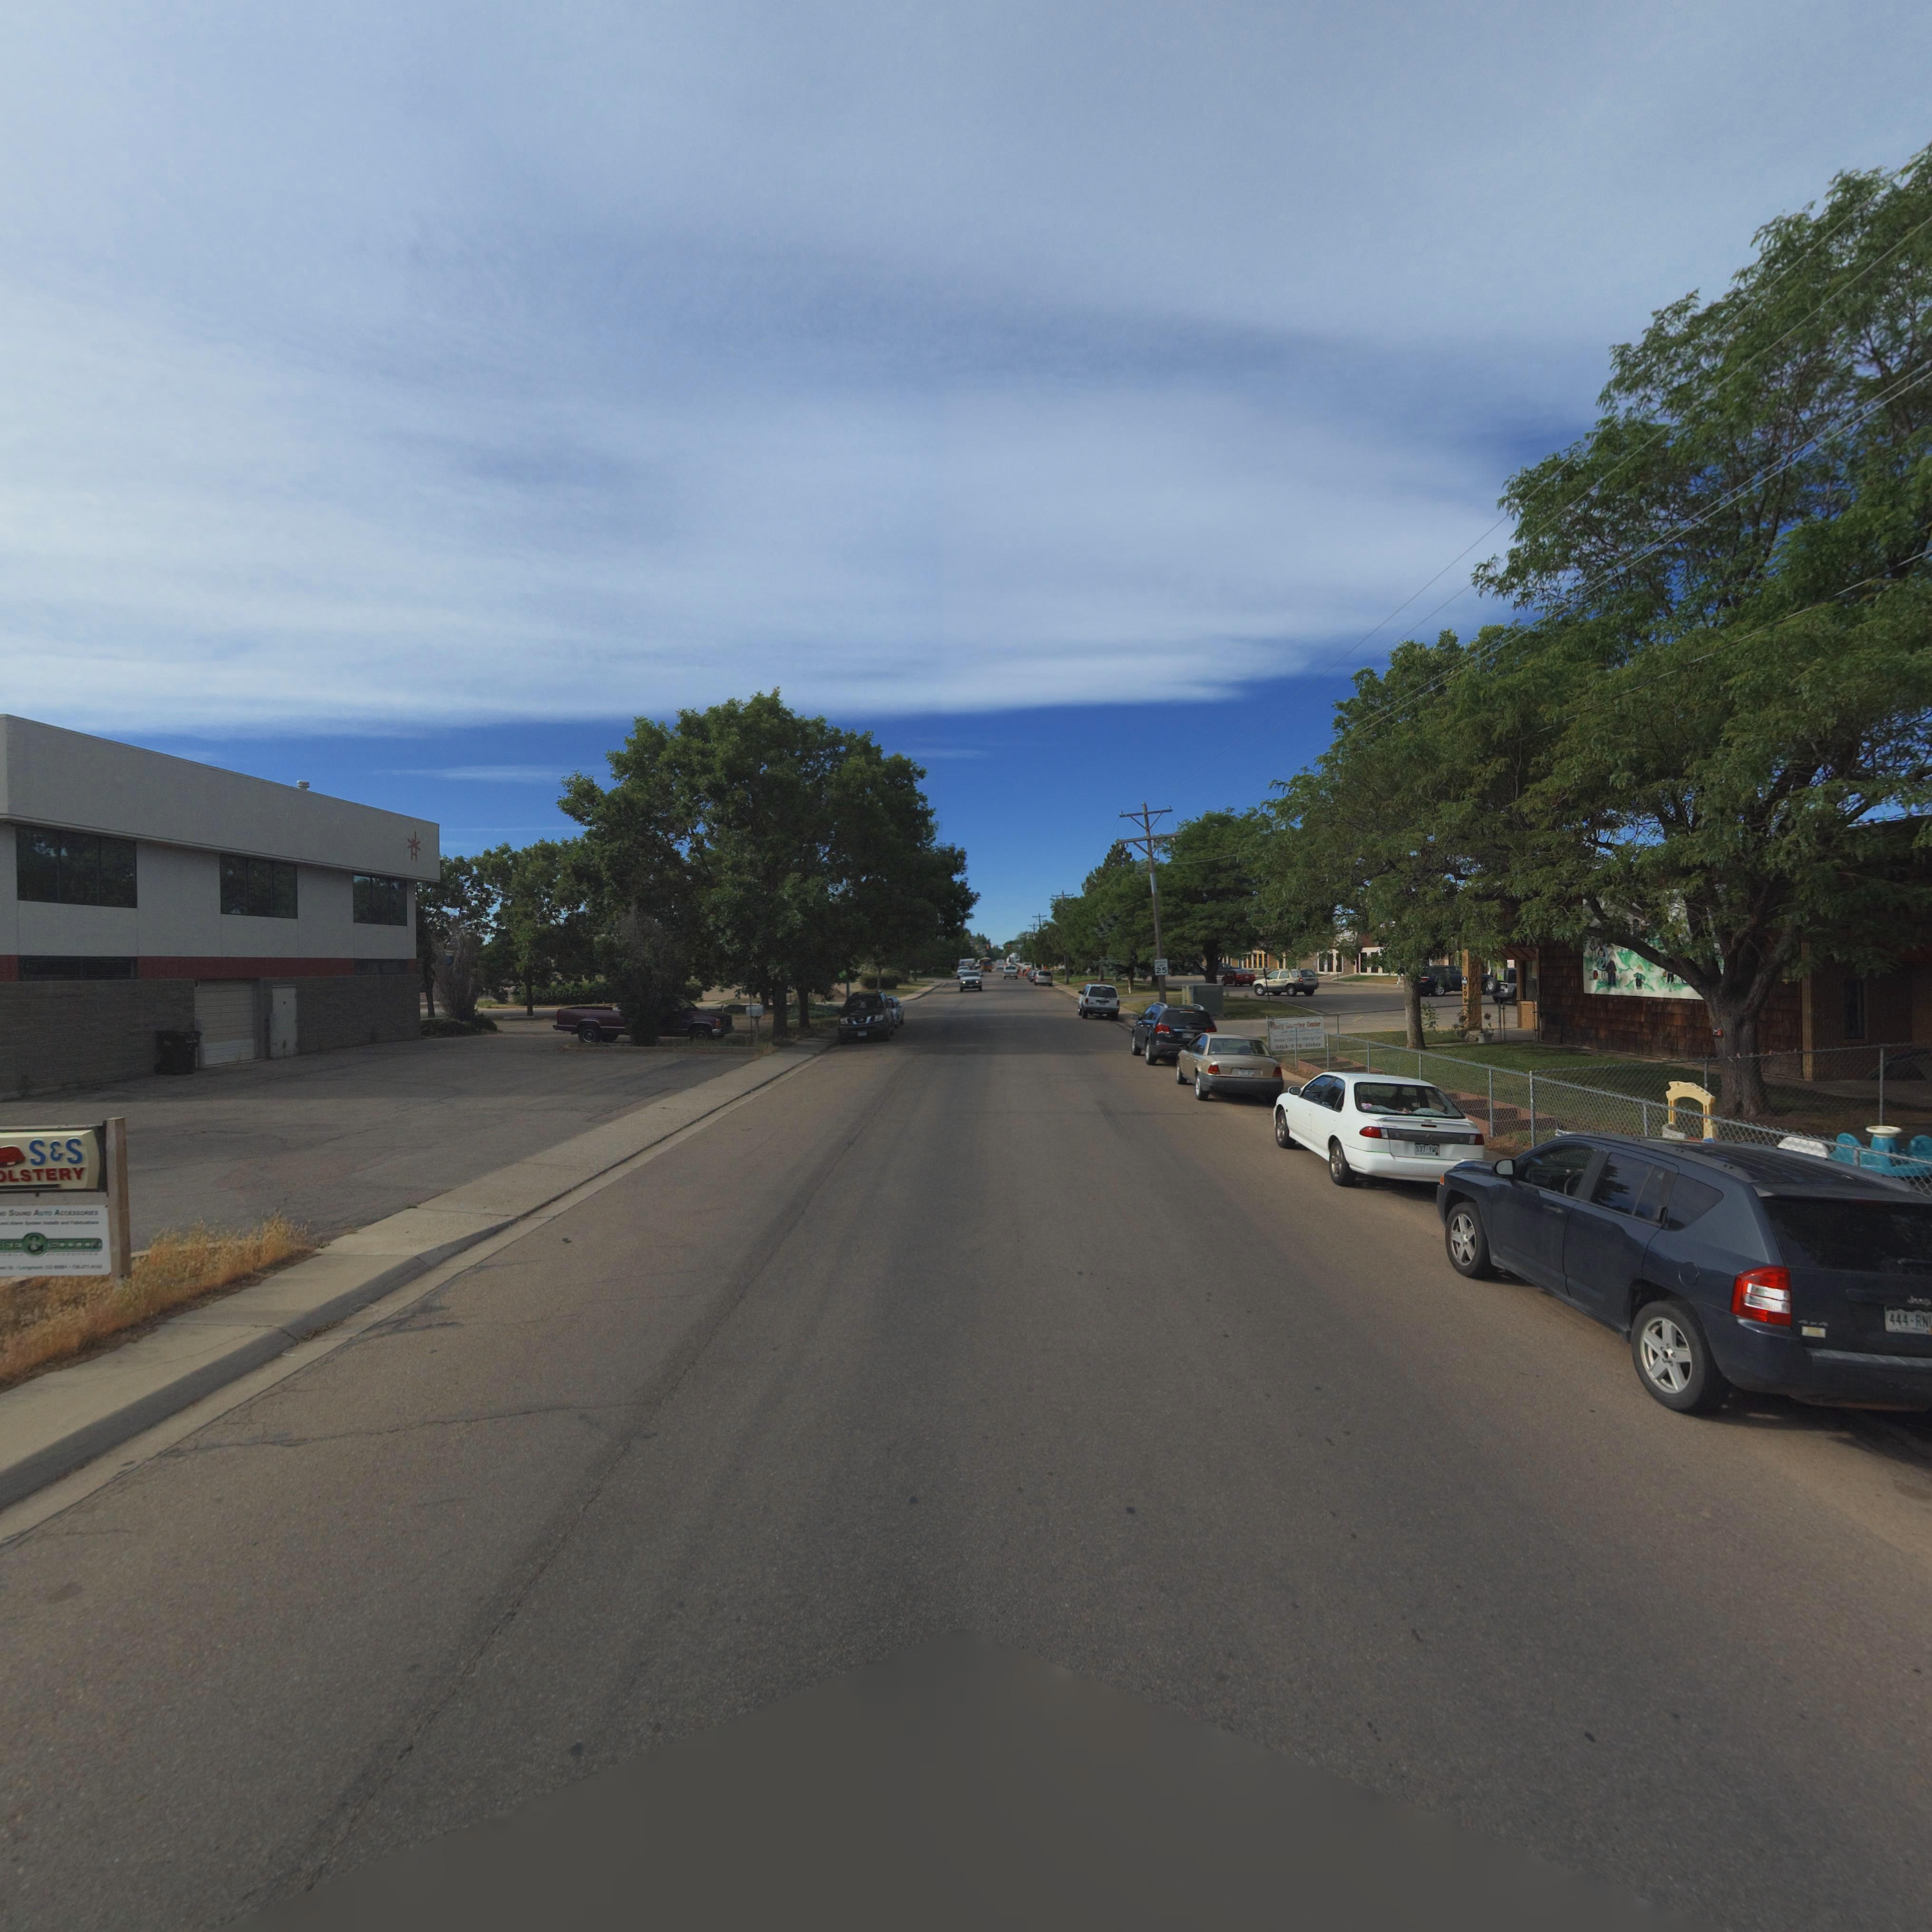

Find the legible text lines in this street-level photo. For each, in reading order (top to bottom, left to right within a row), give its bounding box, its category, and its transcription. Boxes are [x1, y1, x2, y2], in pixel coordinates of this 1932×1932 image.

[410, 831, 417, 861] BusinessName: J*H
[1463, 983, 1467, 1004] StreetNumber: 20*
[1272, 1020, 1321, 1030] BusinessName: ****y L******g C**t**
[28, 1136, 84, 1167] BusinessName: S&S
[6, 1165, 85, 1182] BusinessName: LSTERY
[0, 1208, 99, 1217] BusinessName: d *ound A**o Acc*******
[2, 1234, 93, 1253] BusinessName: FE & SOUND